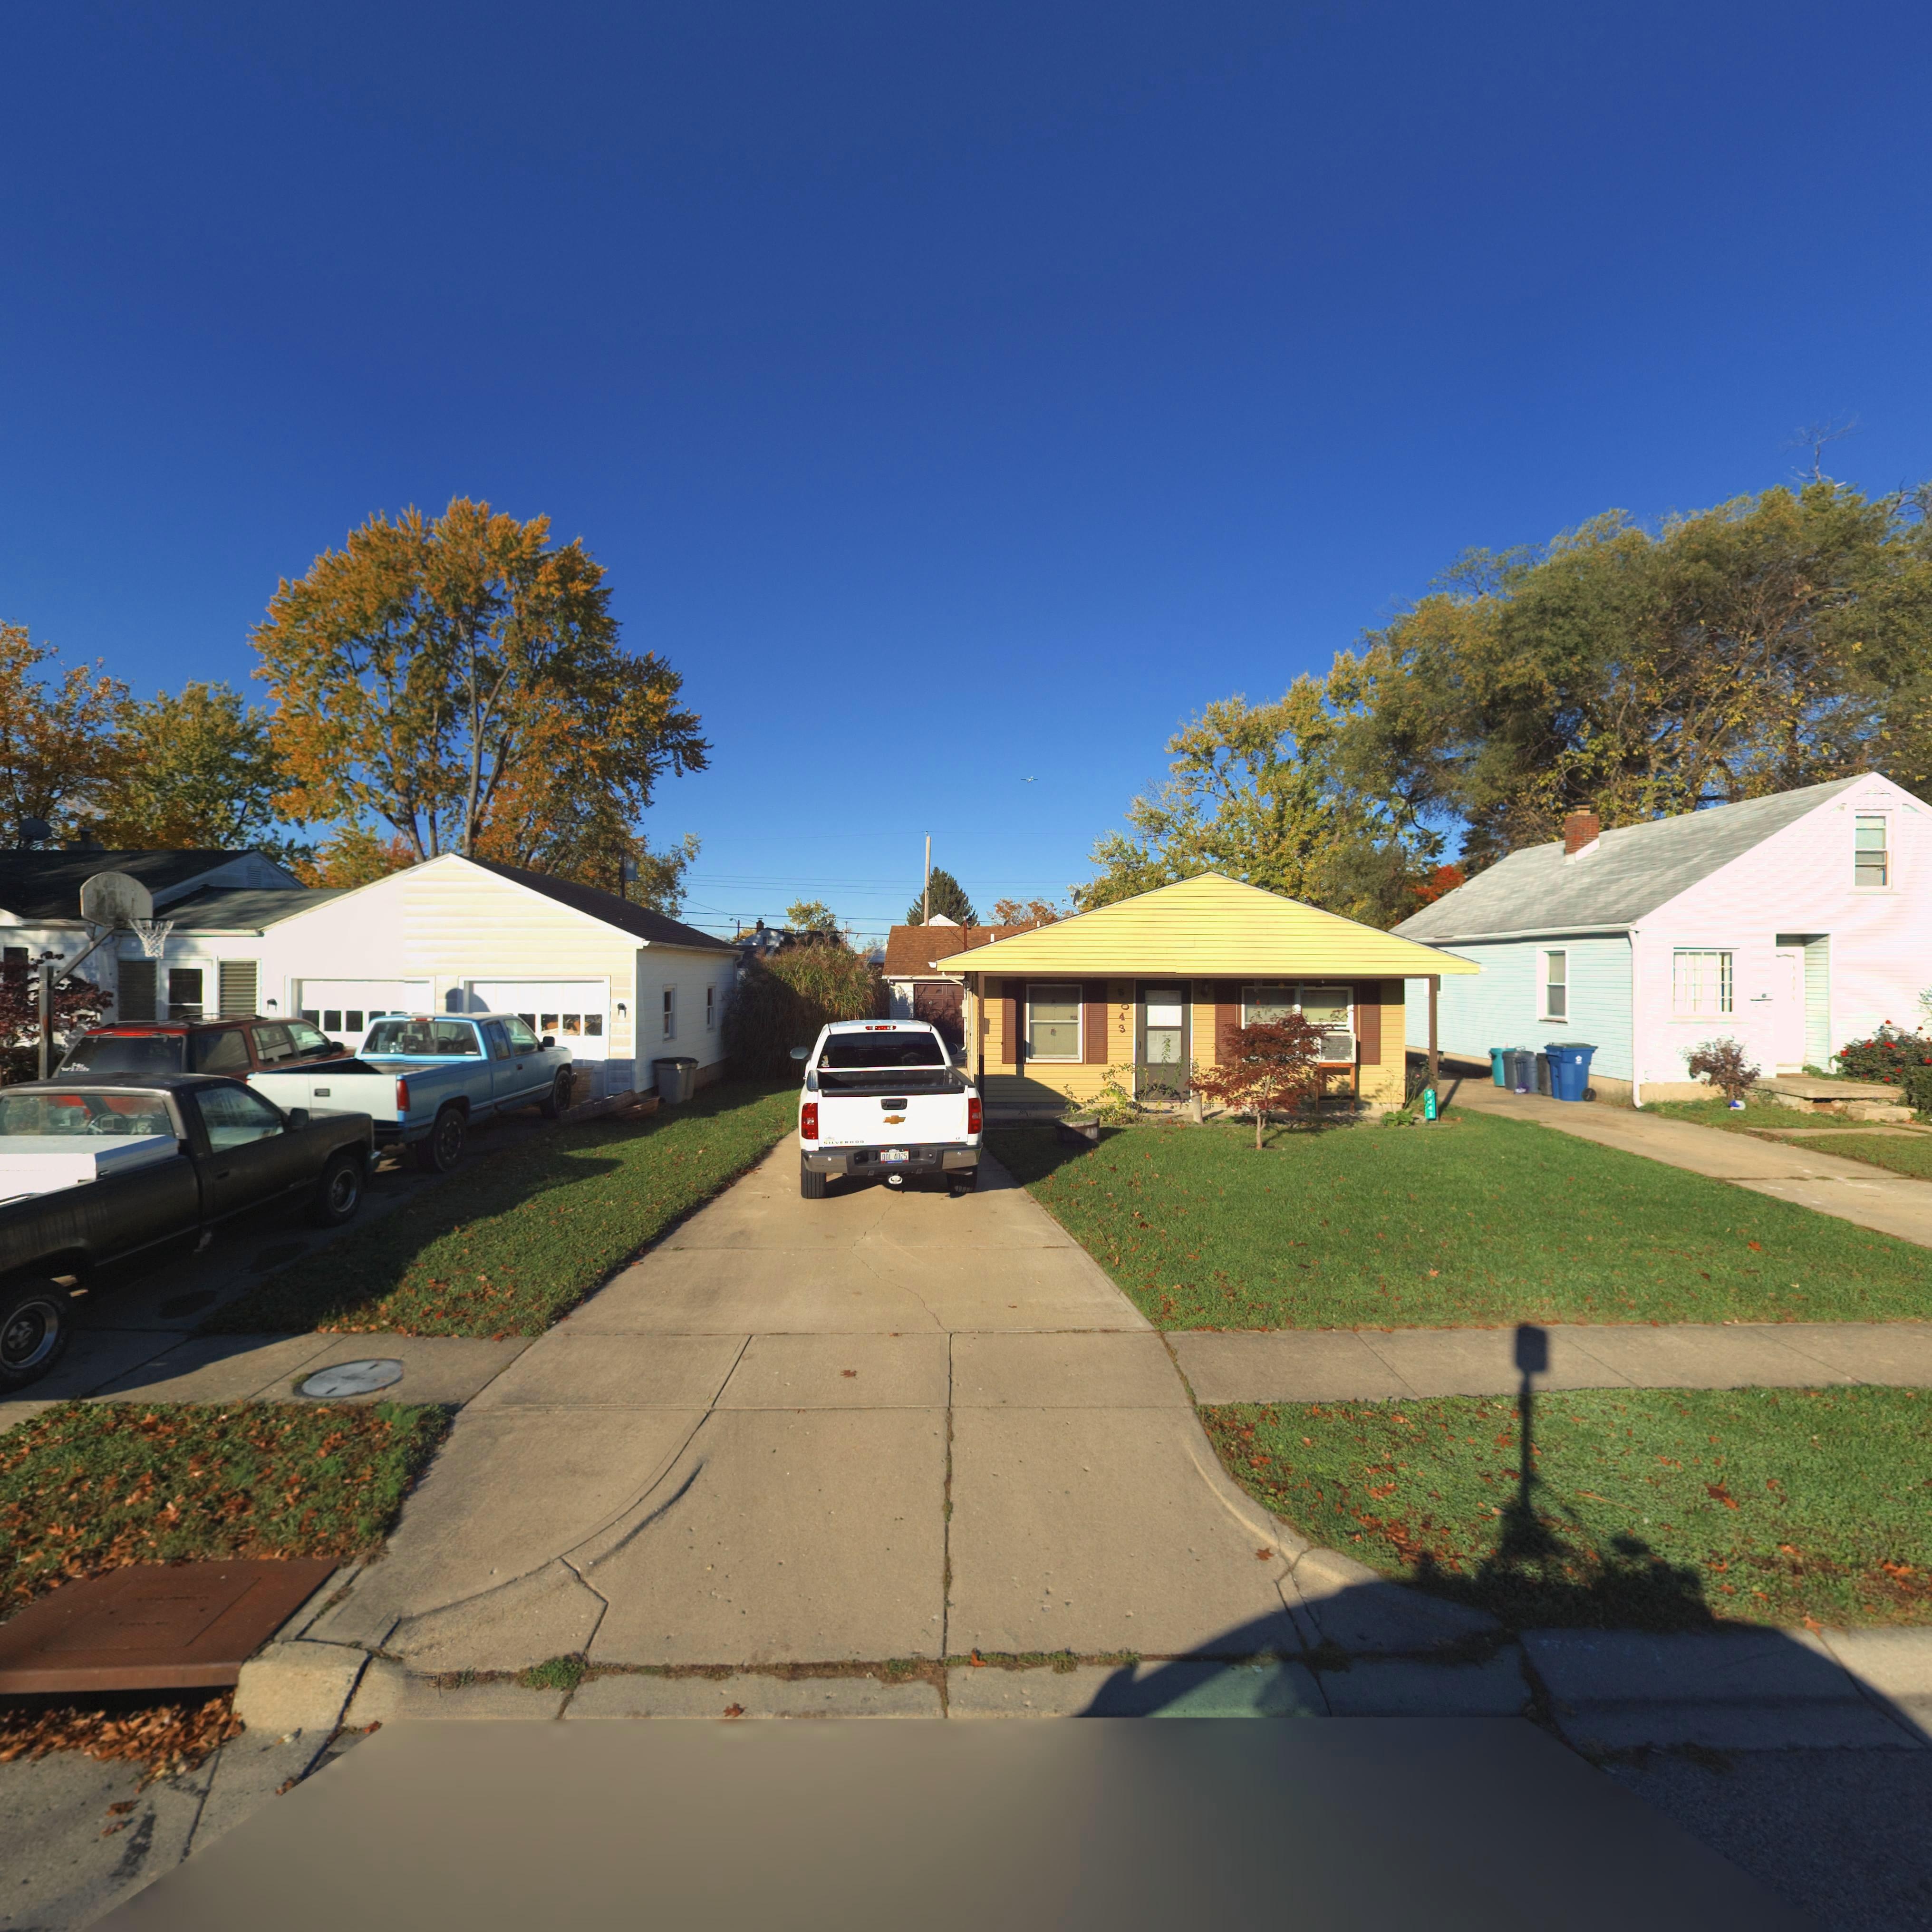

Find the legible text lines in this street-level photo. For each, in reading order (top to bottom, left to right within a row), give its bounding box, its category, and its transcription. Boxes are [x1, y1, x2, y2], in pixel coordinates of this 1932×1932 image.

[1118, 988, 1130, 1034] StreetNumber: 5043
[1427, 1091, 1434, 1118] StreetNumber: 5043